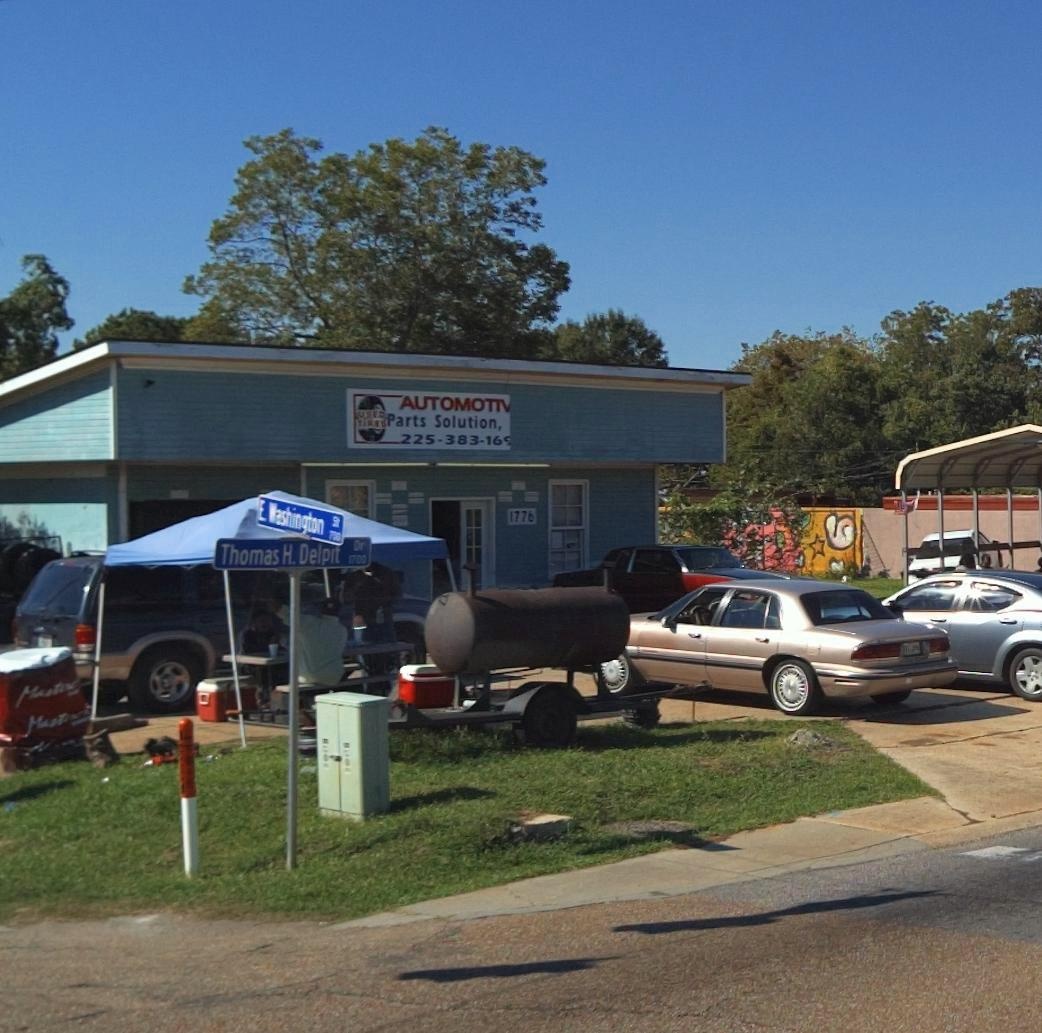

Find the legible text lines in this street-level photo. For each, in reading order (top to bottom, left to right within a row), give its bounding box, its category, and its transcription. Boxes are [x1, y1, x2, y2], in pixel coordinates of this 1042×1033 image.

[394, 392, 504, 415] BusinessName: AUTOMOTI
[385, 409, 499, 431] BusinessName: Parts Solution
[398, 430, 505, 448] None: 225-383-16
[255, 496, 343, 537] StreetName: E Washington St
[507, 508, 536, 524] StreetNumber: 1776
[324, 527, 344, 547] StreetNumber: 1*00
[216, 537, 368, 569] StreetName: Thomas H. Delpit Dr
[345, 552, 370, 567] StreetNumber: 1700